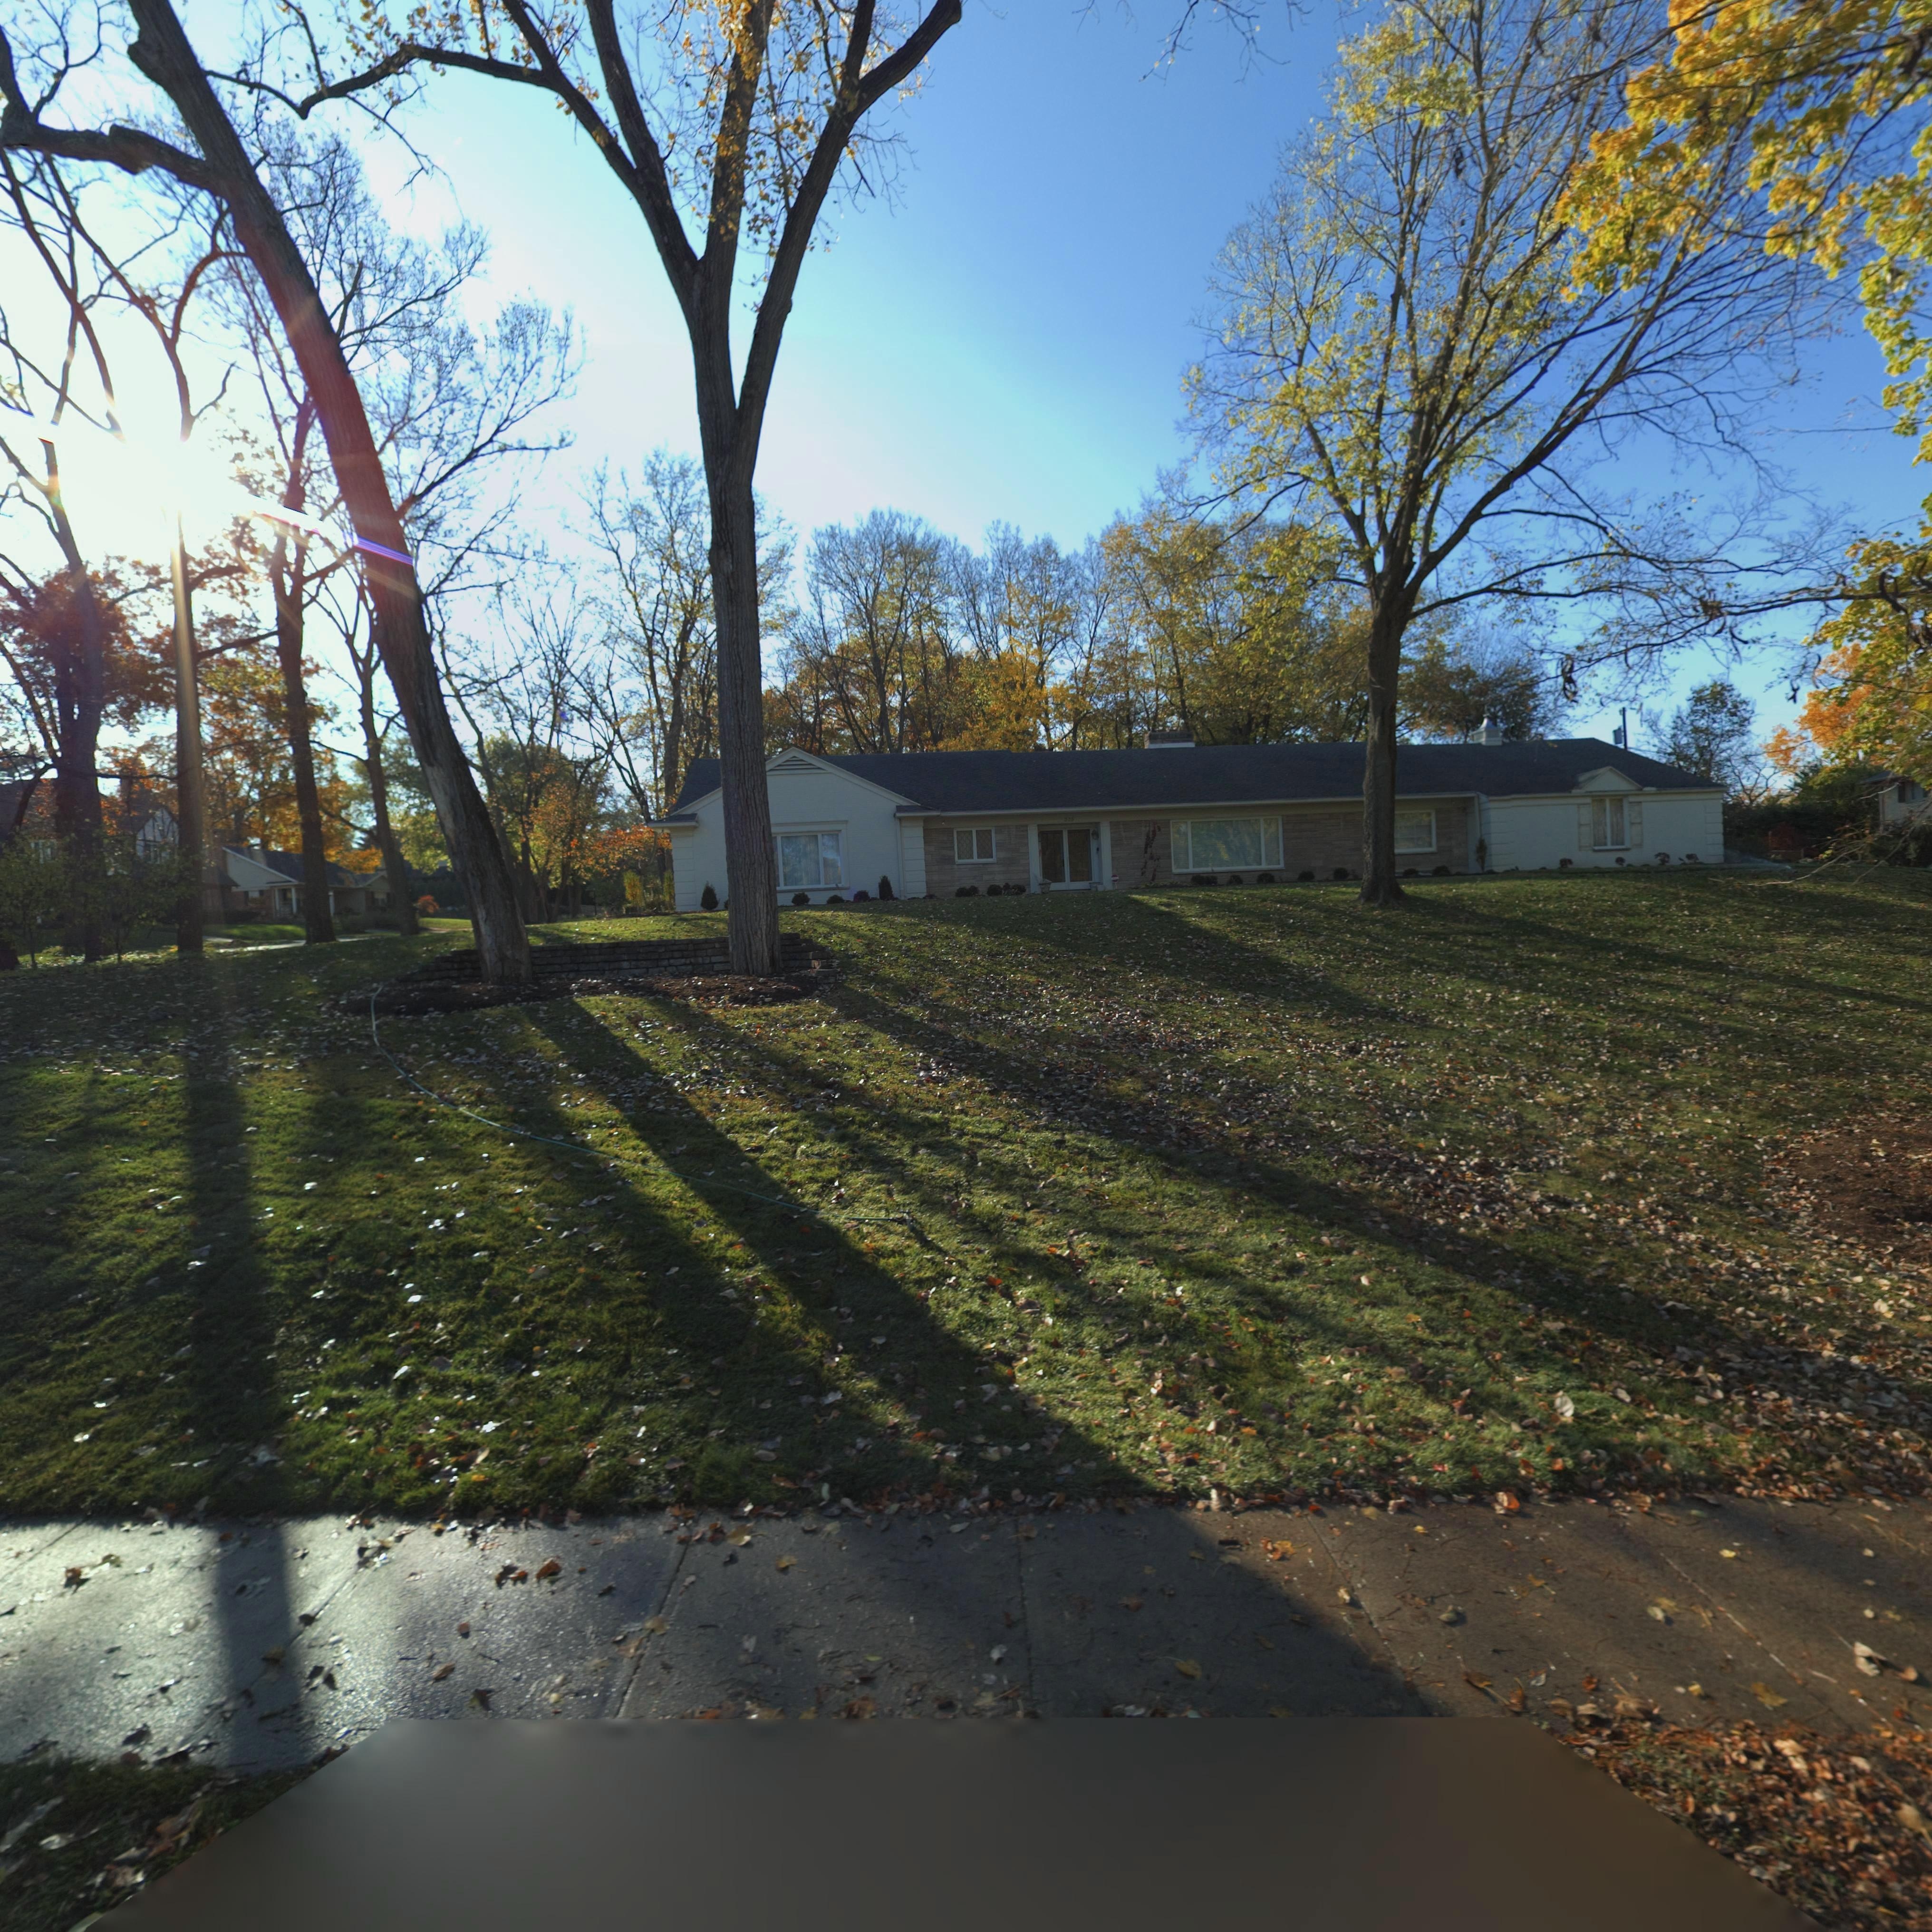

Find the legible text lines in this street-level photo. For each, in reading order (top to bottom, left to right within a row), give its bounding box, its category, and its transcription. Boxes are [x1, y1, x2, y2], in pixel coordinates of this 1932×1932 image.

[1063, 815, 1074, 821] StreetNumber: 335